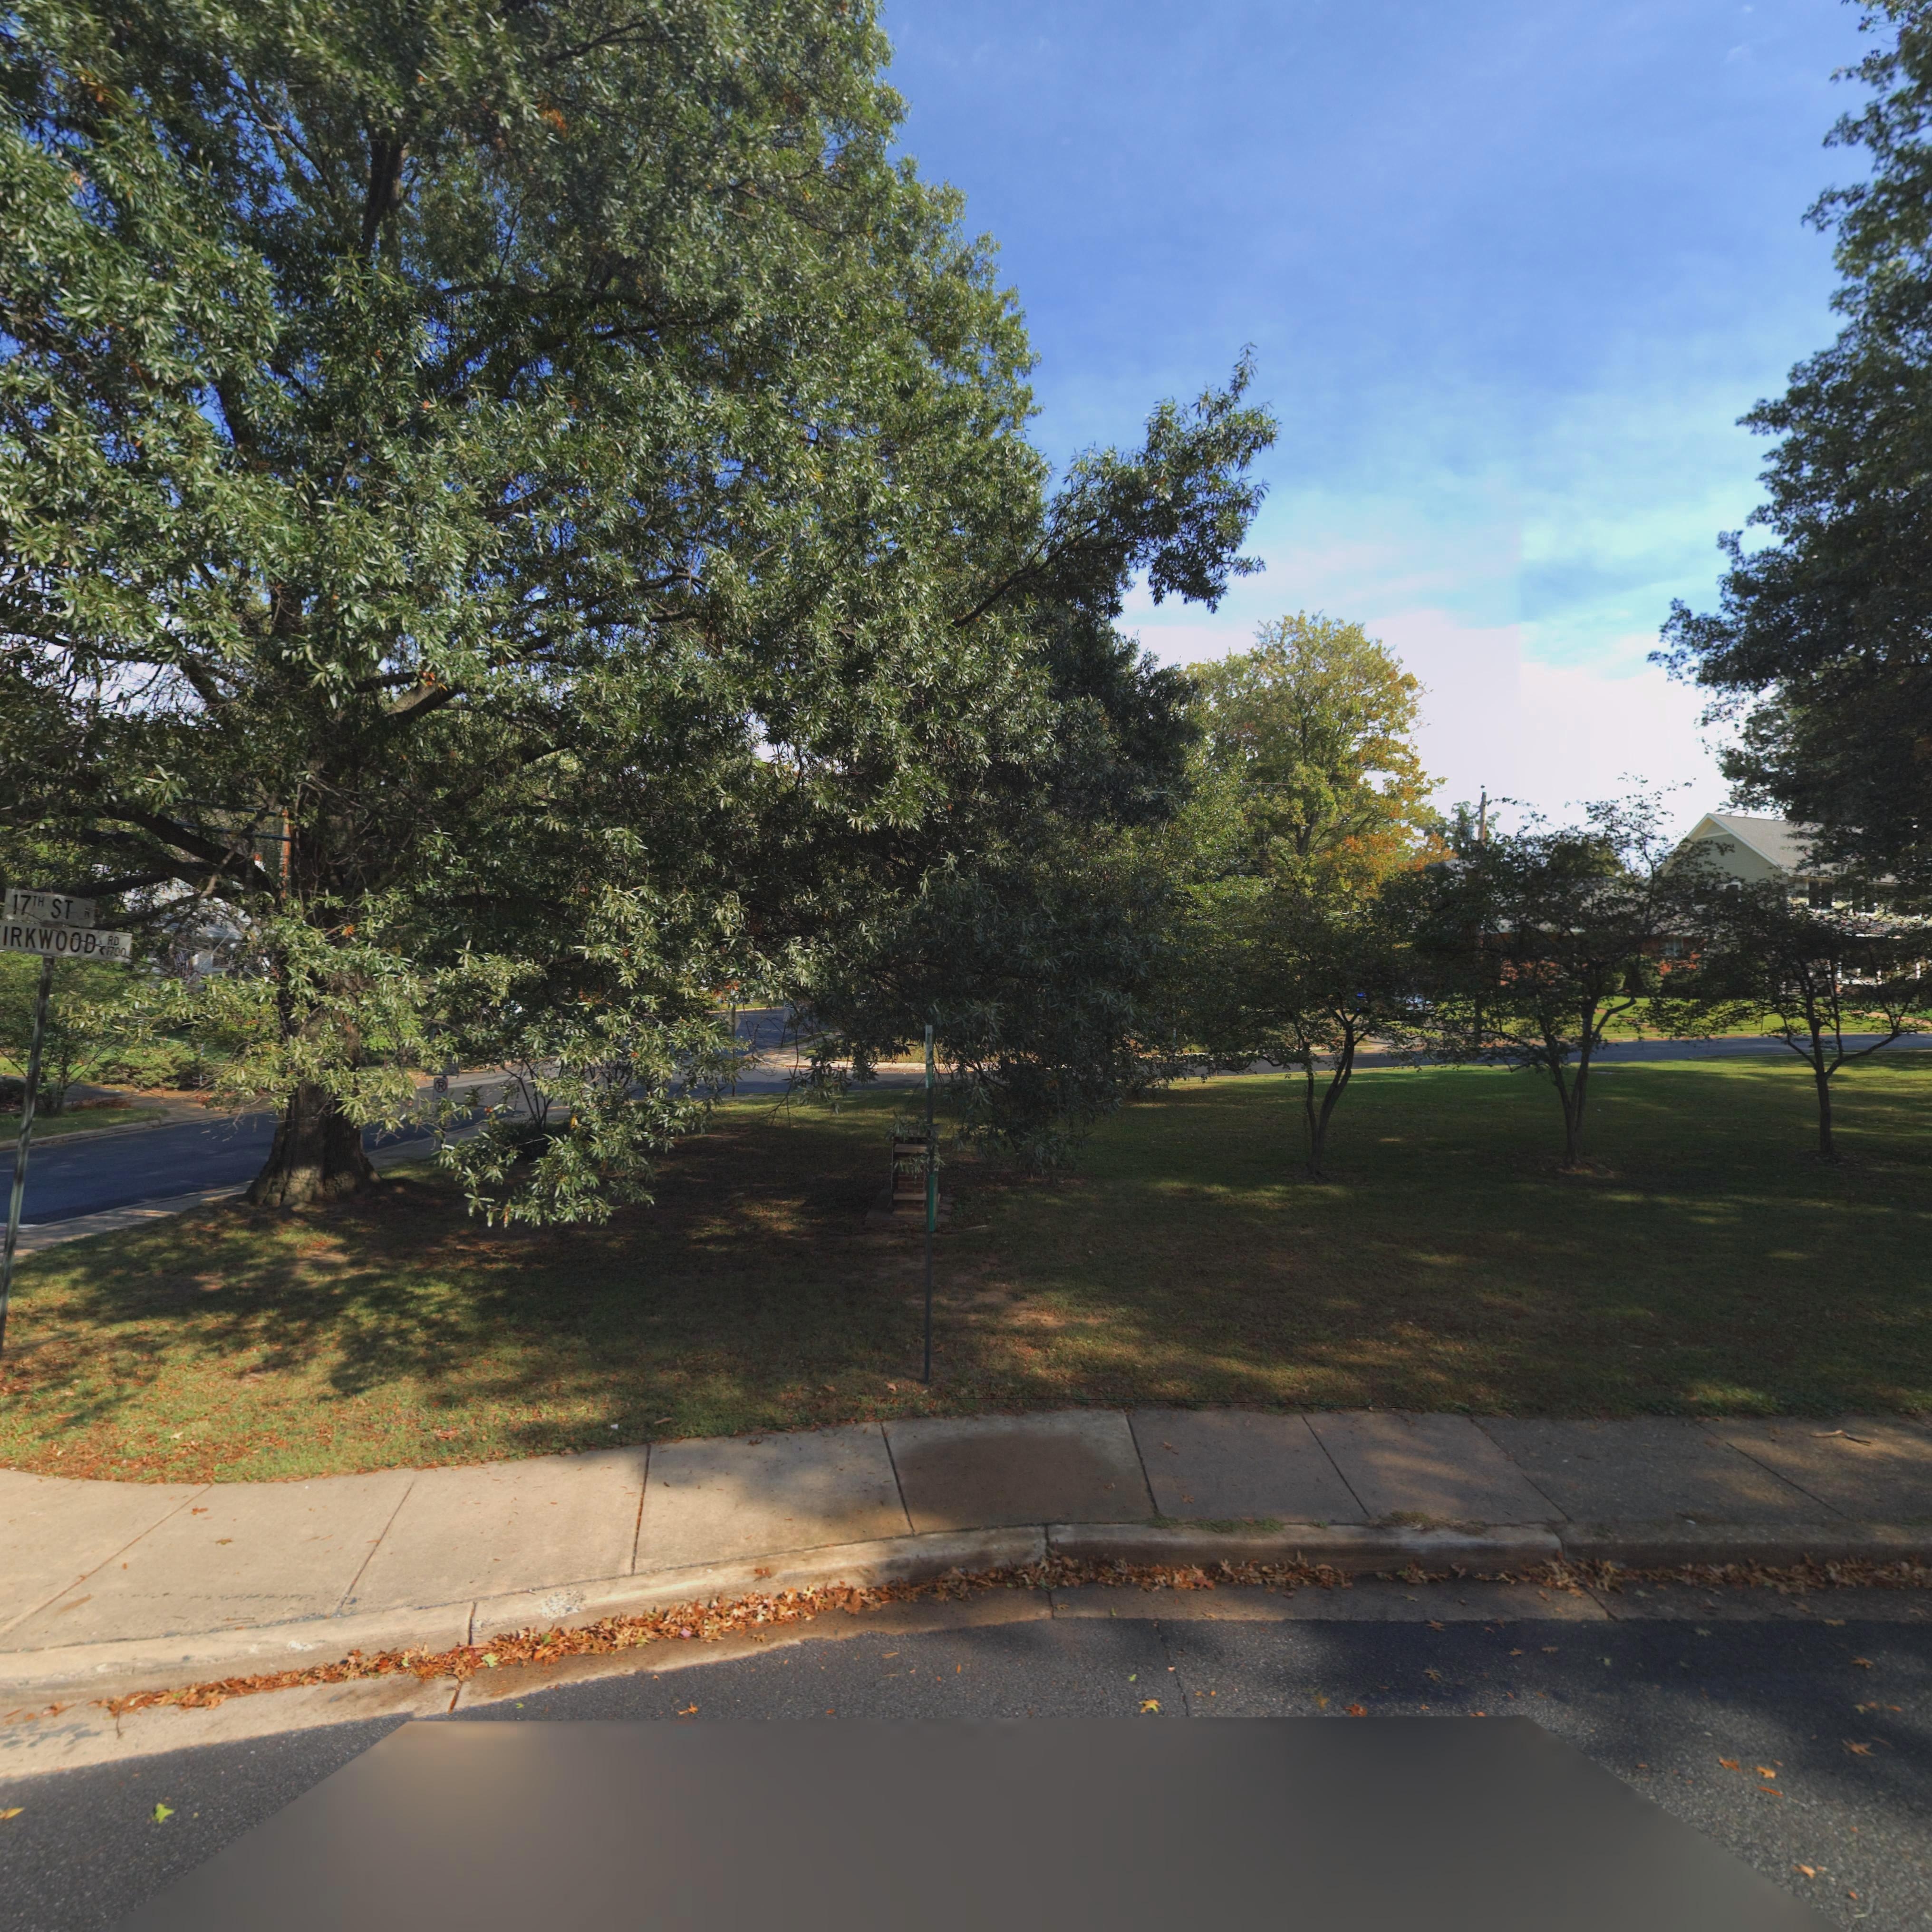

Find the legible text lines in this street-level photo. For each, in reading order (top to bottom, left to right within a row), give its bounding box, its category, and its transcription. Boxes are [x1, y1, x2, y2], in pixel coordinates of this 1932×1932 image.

[11, 891, 76, 922] StreetName: 17TH ST
[1, 923, 121, 956] StreetName: IRKWOOD RD
[97, 944, 128, 959] StreetNumberRange: <-1700